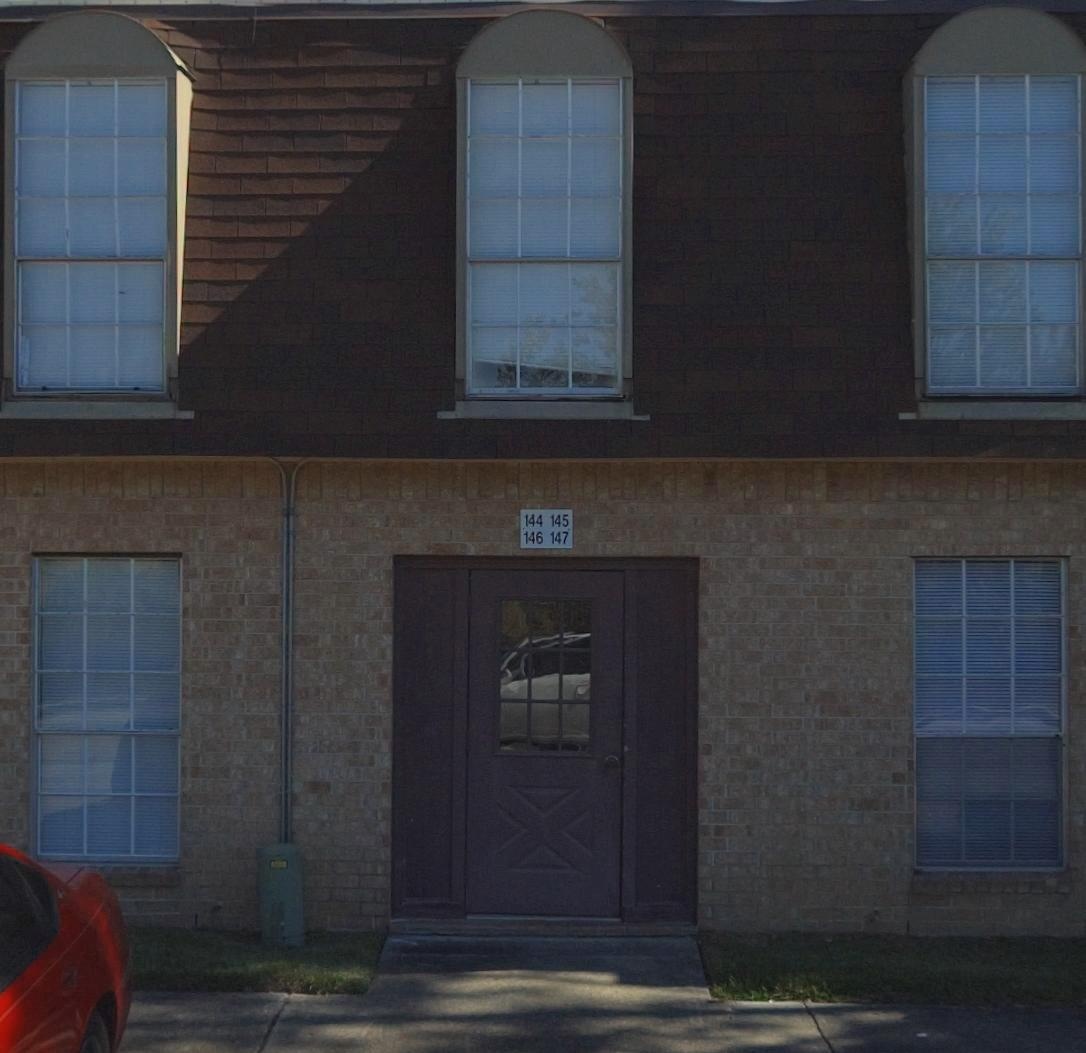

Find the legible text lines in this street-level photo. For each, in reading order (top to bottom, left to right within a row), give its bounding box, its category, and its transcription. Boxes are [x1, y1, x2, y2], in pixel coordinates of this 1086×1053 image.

[522, 512, 546, 529] StreetNumber: 144
[547, 512, 571, 529] StreetNumber: 145
[522, 529, 546, 546] StreetNumber: 146
[547, 529, 571, 546] StreetNumber: 147